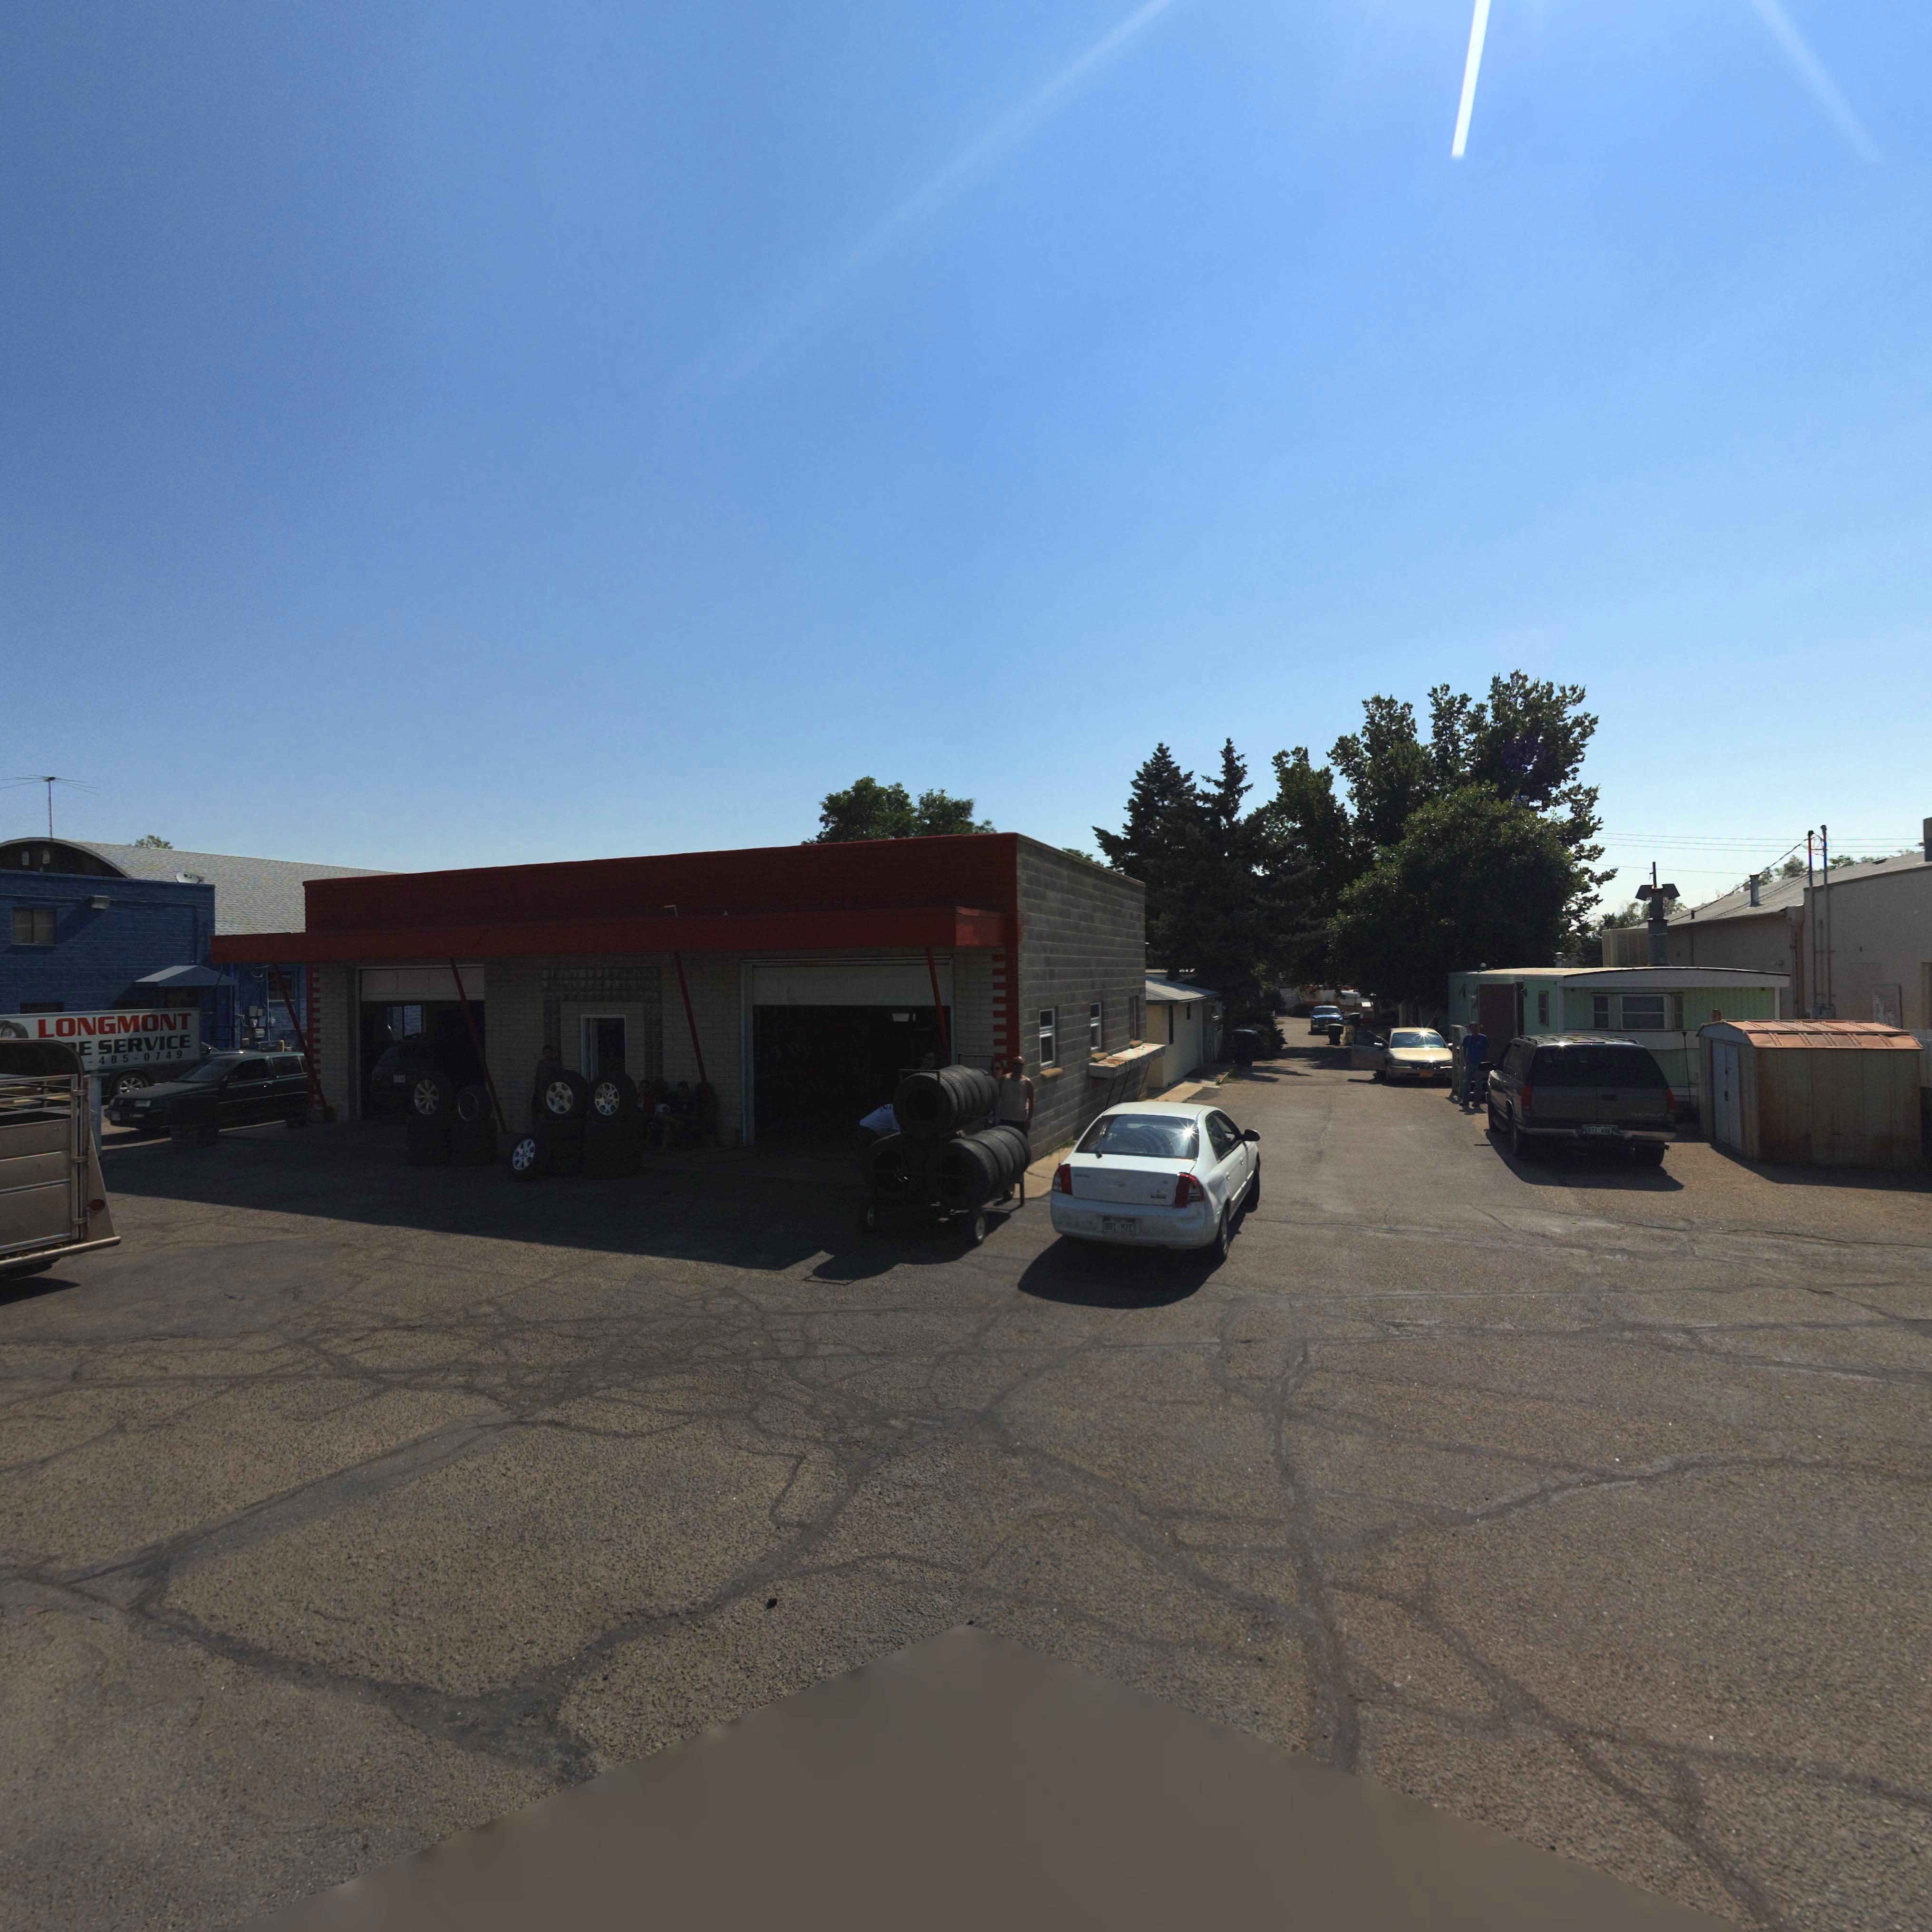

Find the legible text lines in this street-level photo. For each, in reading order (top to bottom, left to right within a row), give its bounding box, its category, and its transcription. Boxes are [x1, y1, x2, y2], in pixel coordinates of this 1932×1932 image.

[36, 1012, 193, 1040] BusinessName: LONGMONT
[77, 1034, 193, 1056] BusinessName: E SERVICE